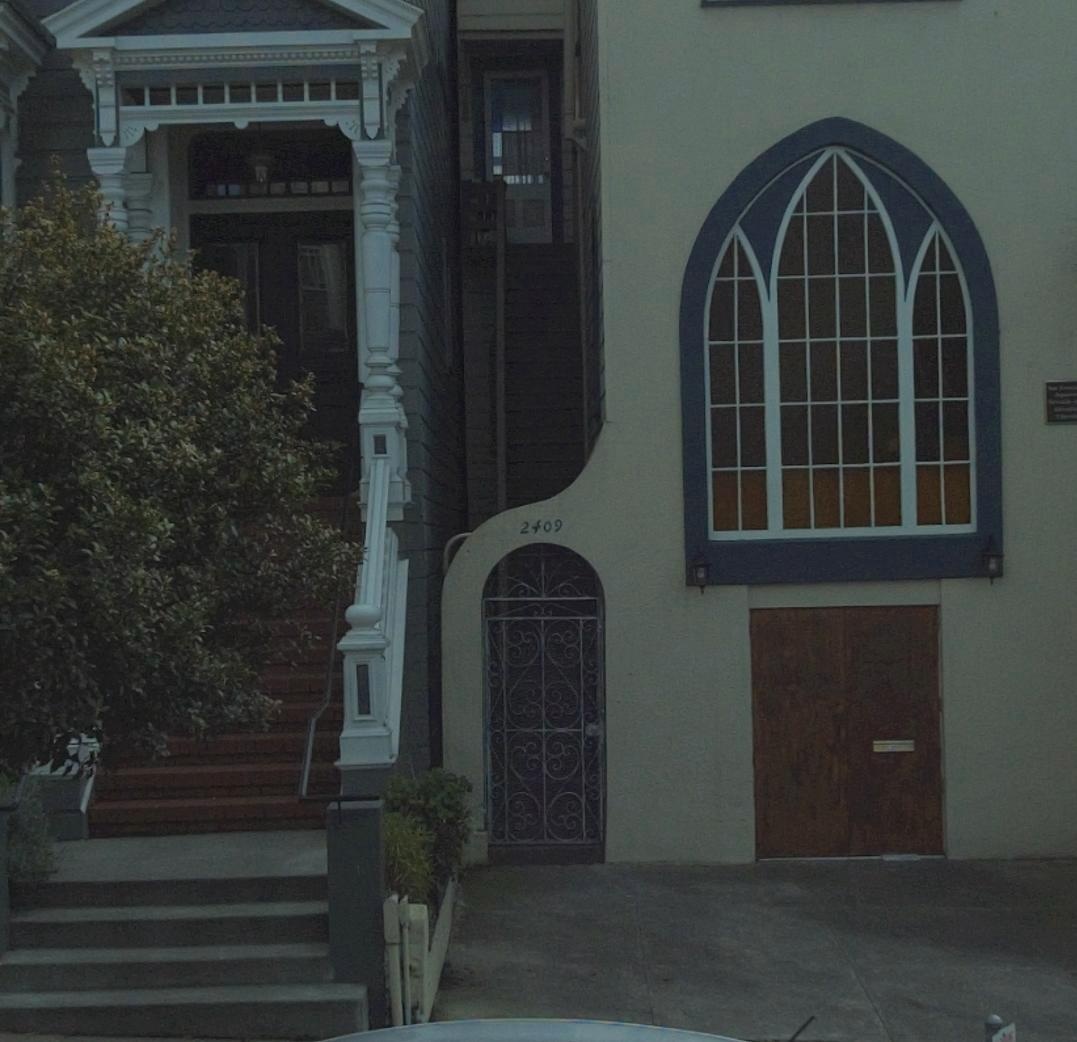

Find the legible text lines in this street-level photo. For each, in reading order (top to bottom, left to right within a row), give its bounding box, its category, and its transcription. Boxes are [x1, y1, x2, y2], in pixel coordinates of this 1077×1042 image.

[517, 516, 564, 537] StreetNumber: 2409